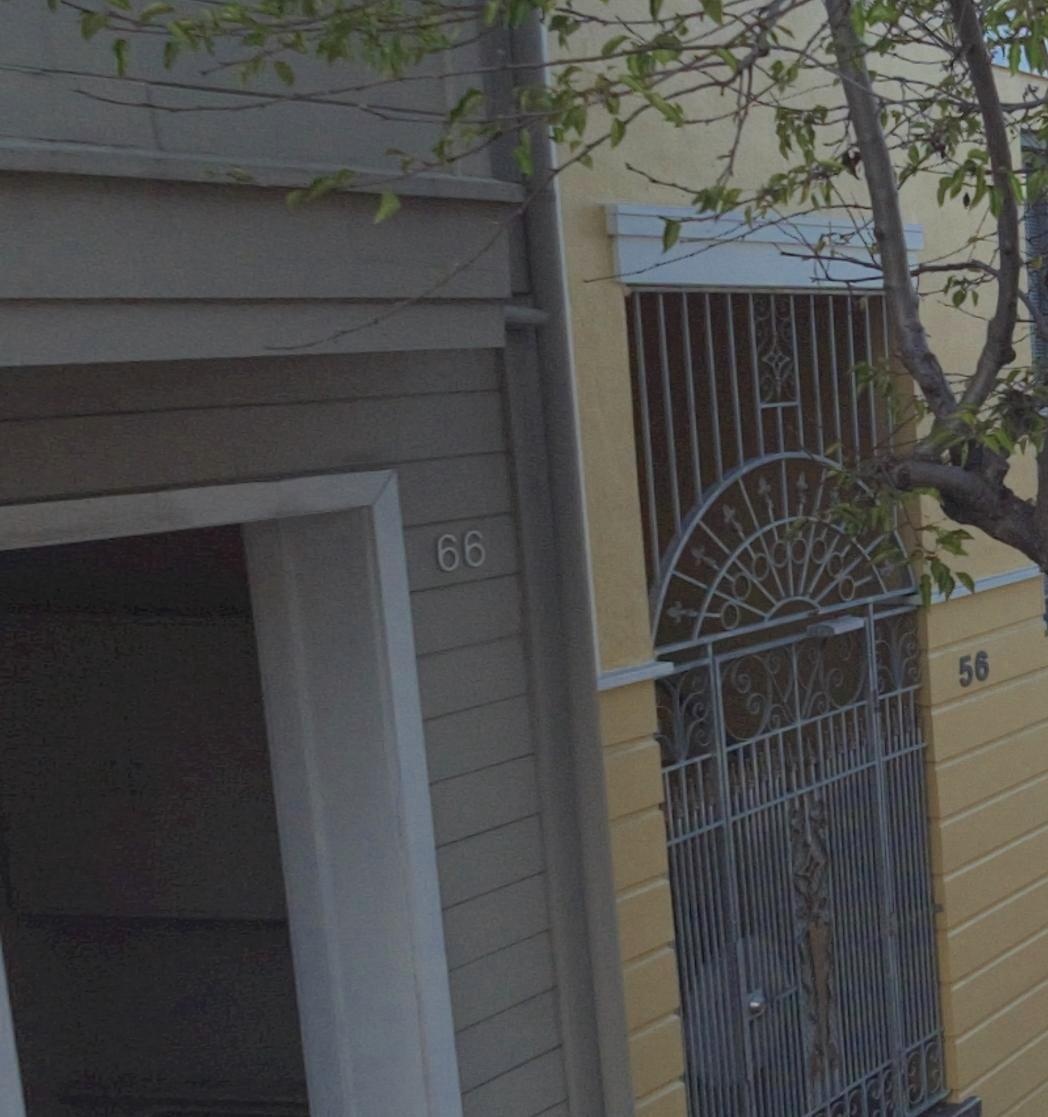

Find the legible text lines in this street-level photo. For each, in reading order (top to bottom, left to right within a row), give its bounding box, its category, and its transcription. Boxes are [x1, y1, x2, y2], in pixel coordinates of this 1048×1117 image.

[428, 521, 495, 581] StreetNumber: 66
[953, 645, 996, 692] StreetNumber: 56